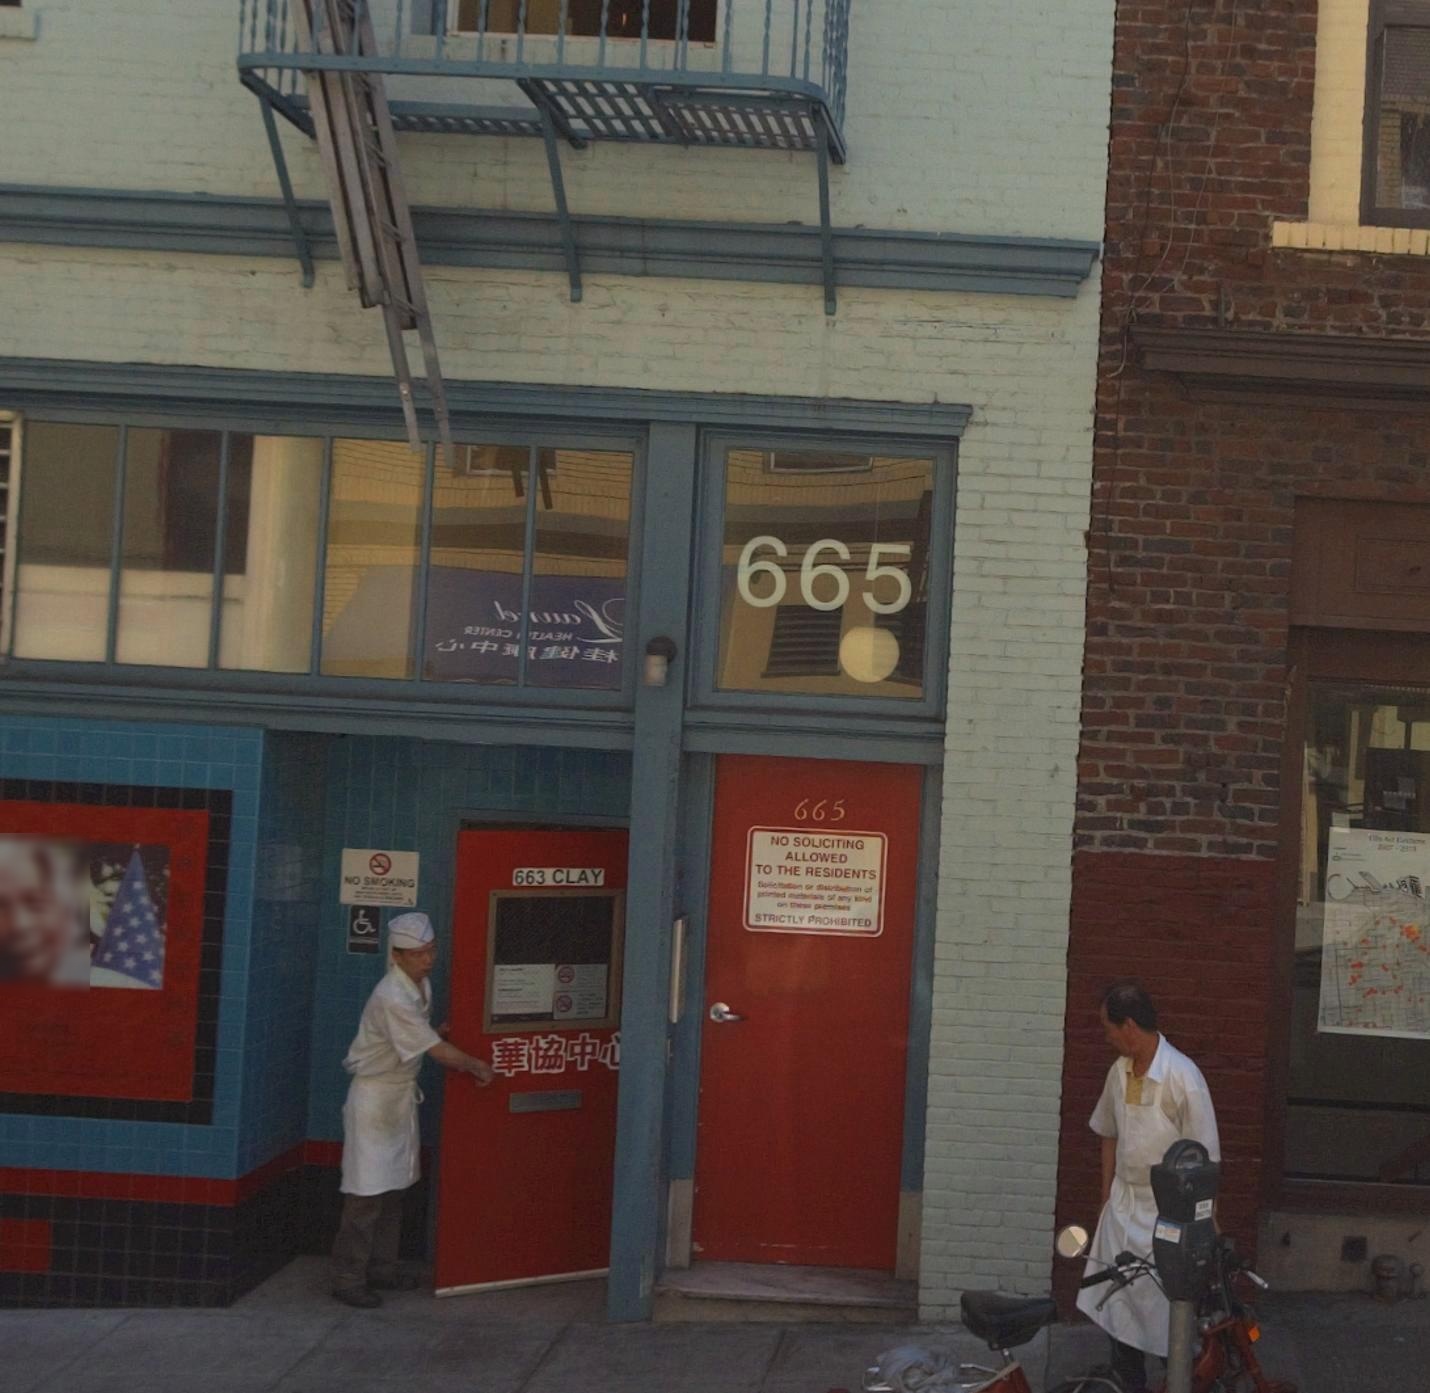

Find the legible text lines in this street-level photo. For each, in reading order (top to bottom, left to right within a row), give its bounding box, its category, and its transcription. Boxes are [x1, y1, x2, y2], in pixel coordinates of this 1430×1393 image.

[732, 533, 920, 618] StreetNumber: 665
[791, 793, 849, 823] StreetNumber: 665
[769, 835, 866, 851] None: NO SOLICITING
[782, 851, 849, 864] None: ALLOWED
[343, 875, 416, 888] None: NO SMOKING
[513, 868, 546, 886] StreetNumber: 663
[550, 868, 604, 884] StreetName: CLAY
[753, 863, 879, 881] None: TO THE RESIDENTS
[753, 912, 873, 928] None: STRICTLY PROHIBITED